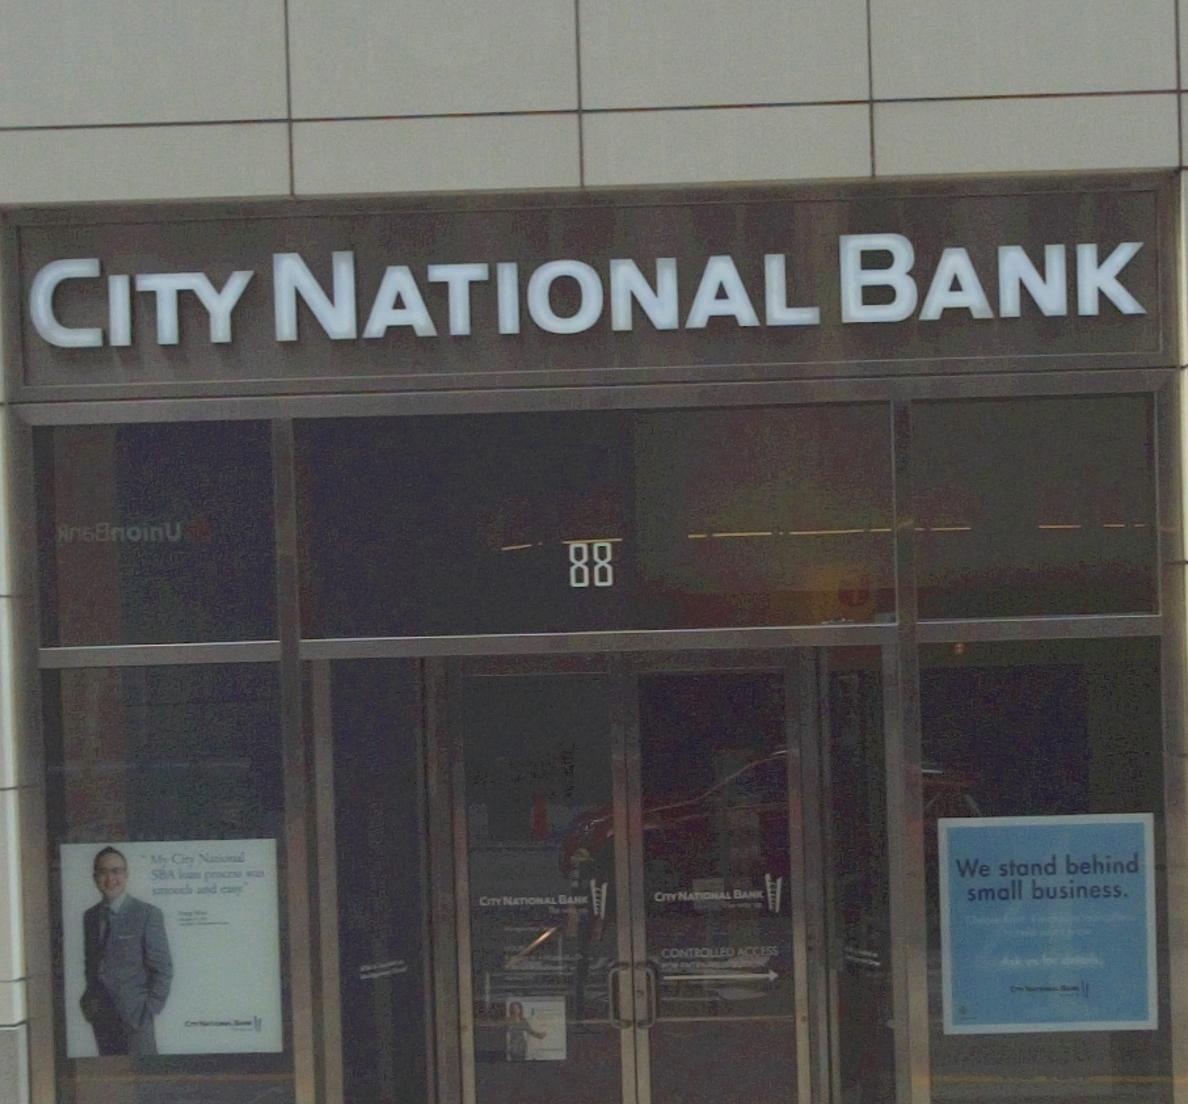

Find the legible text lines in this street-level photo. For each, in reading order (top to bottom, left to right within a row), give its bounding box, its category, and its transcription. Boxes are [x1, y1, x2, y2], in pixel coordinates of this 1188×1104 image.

[27, 229, 1151, 351] BusinessName: CITY NATIONAL BANK
[126, 519, 182, 545] None: oi*U
[568, 542, 614, 589] StreetNumber: 88
[148, 849, 248, 870] None: My City National
[150, 866, 267, 883] None: SBA loan process was
[952, 850, 1141, 880] None: We stand behind
[151, 883, 248, 899] None: smooth and easy
[478, 894, 590, 906] BusinessName: CITY NATIONAL BANK
[652, 888, 765, 903] BusinessName: CITY NATIONAL BANK
[966, 878, 1124, 903] None: small business
[659, 945, 780, 959] None: CONTROLLED ACCESS